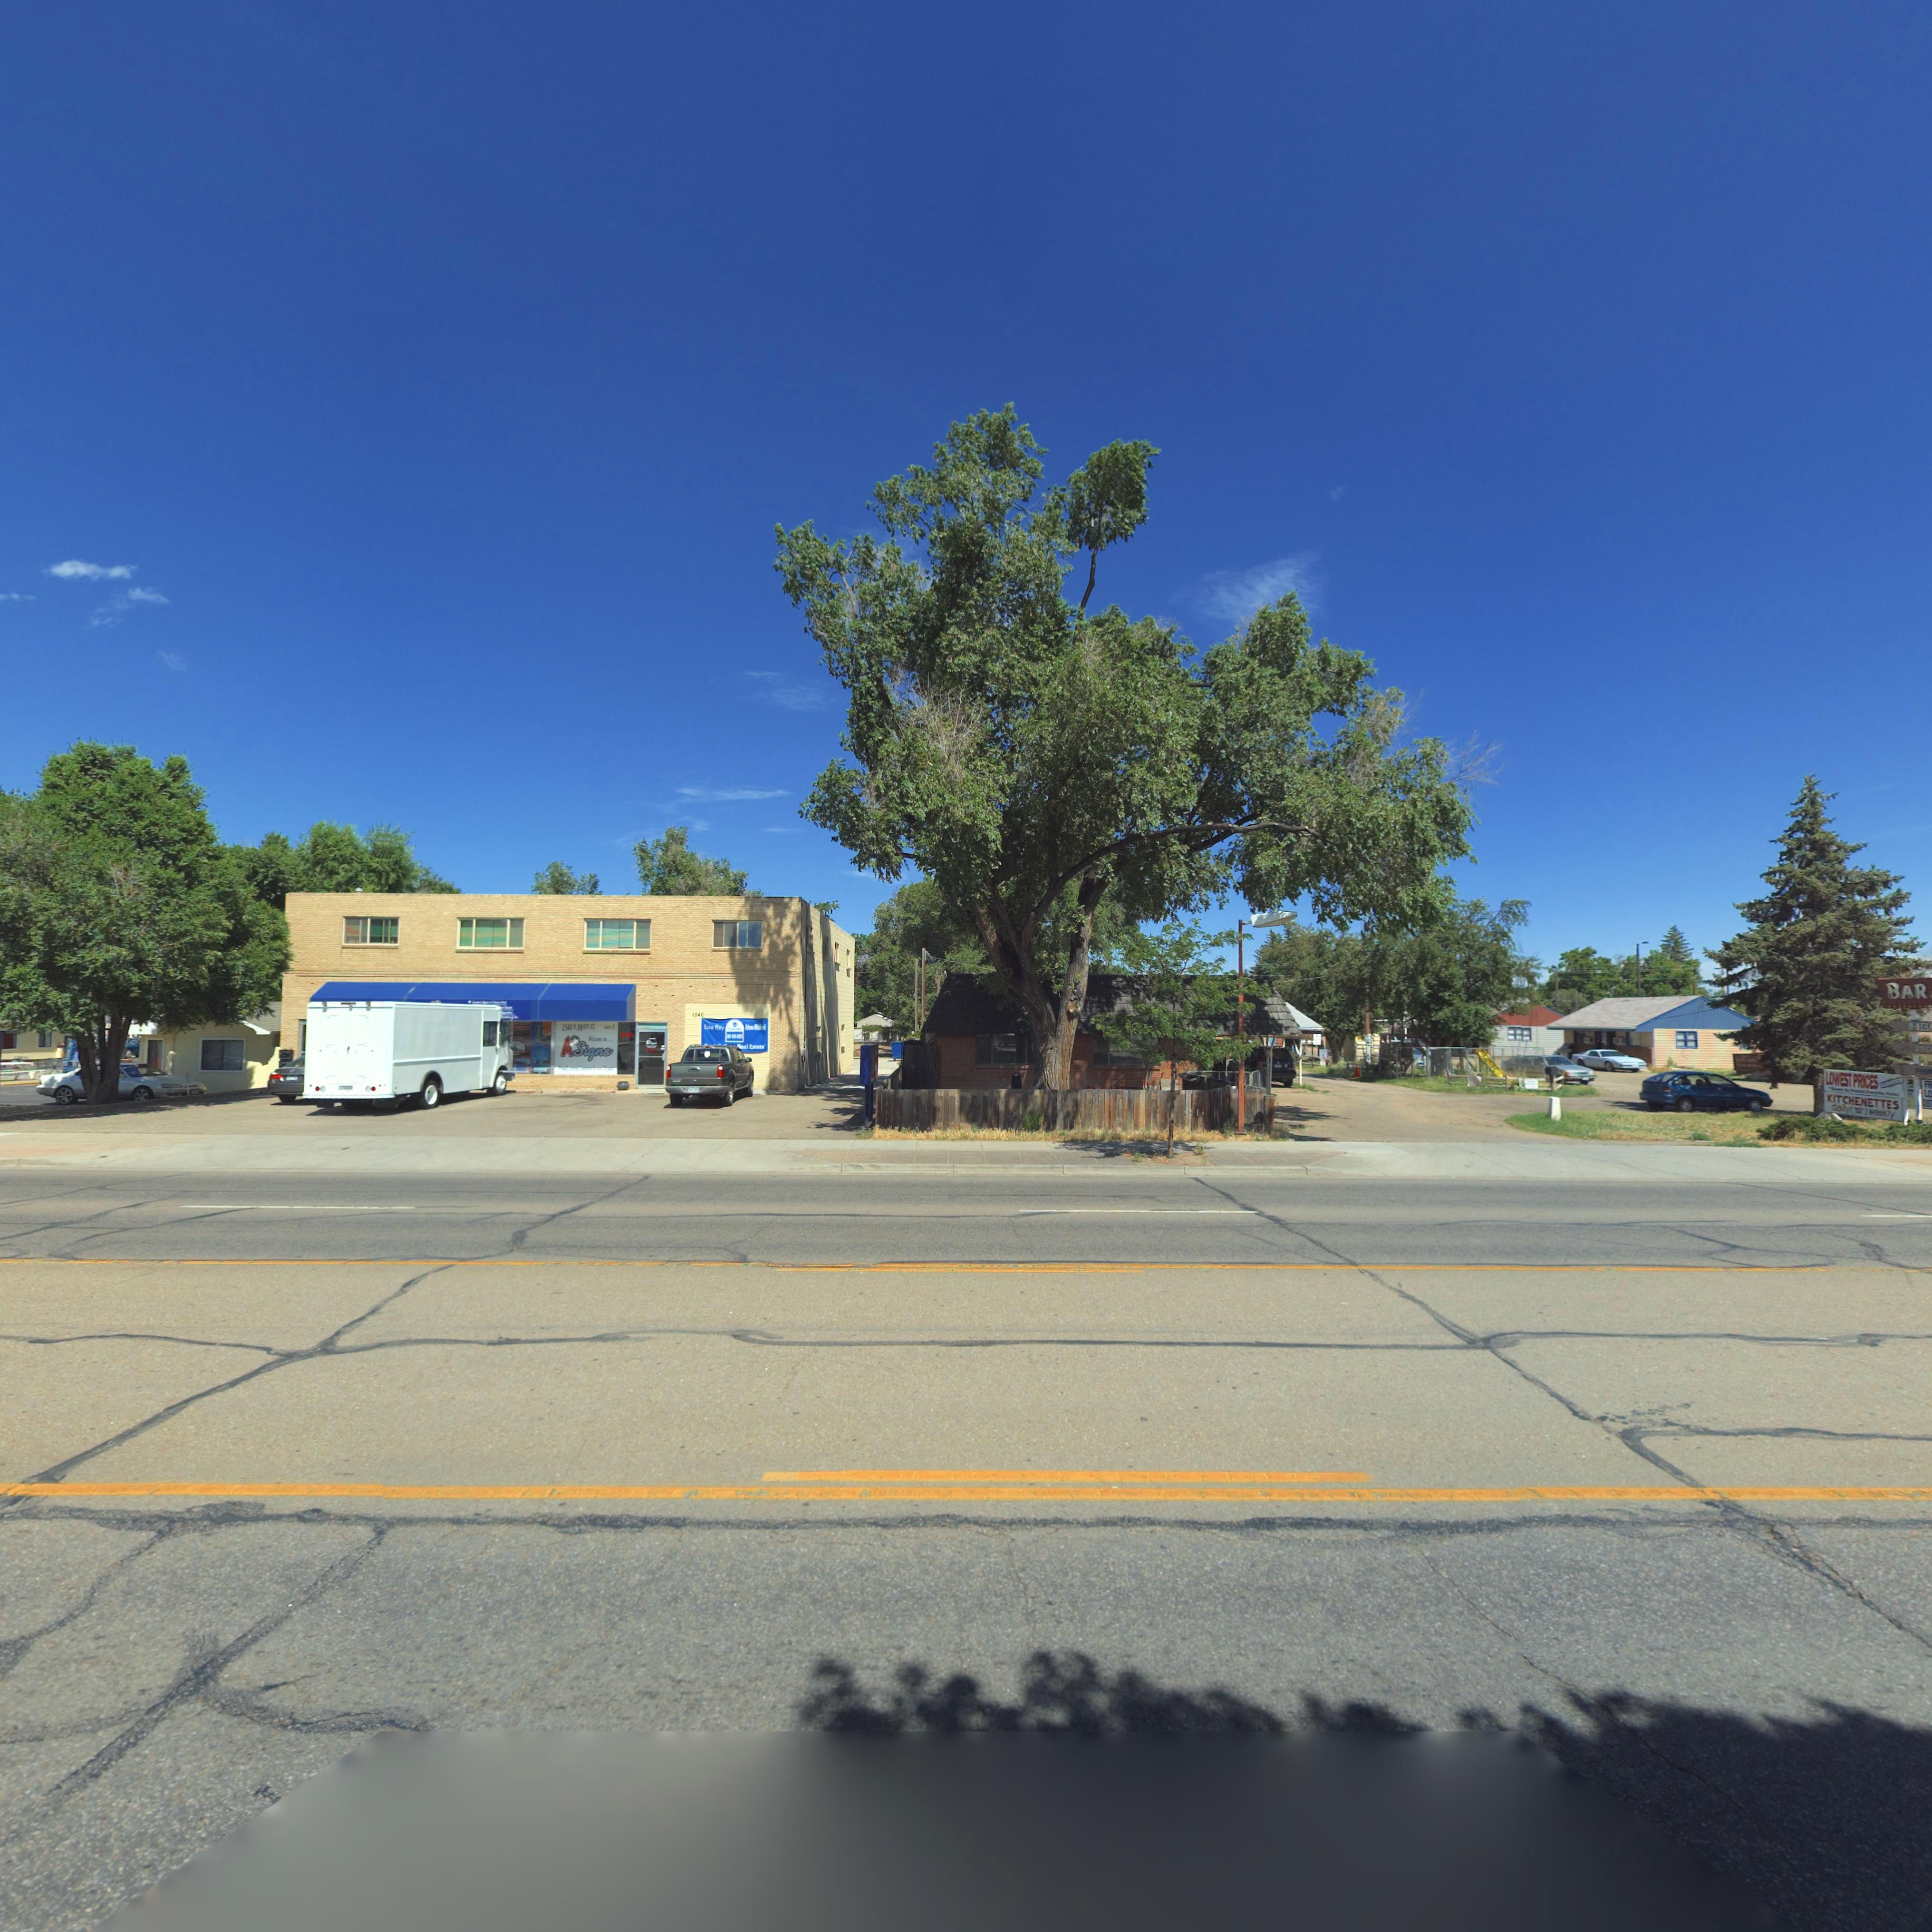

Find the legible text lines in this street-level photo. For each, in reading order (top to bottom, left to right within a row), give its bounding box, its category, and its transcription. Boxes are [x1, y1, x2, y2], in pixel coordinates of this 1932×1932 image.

[1885, 981, 1928, 1000] BusinessName: BAR
[691, 1012, 704, 1016] StreetNumber: 15*0
[561, 1024, 572, 1031] StreetNumber: 1540
[573, 1023, 595, 1031] StreetName: N. MAIN ST.
[604, 1023, 615, 1030] SecondaryUnitDesignator: unit A
[645, 1039, 657, 1045] BusinessName: AS*****
[560, 1034, 614, 1062] BusinessName: ASigns